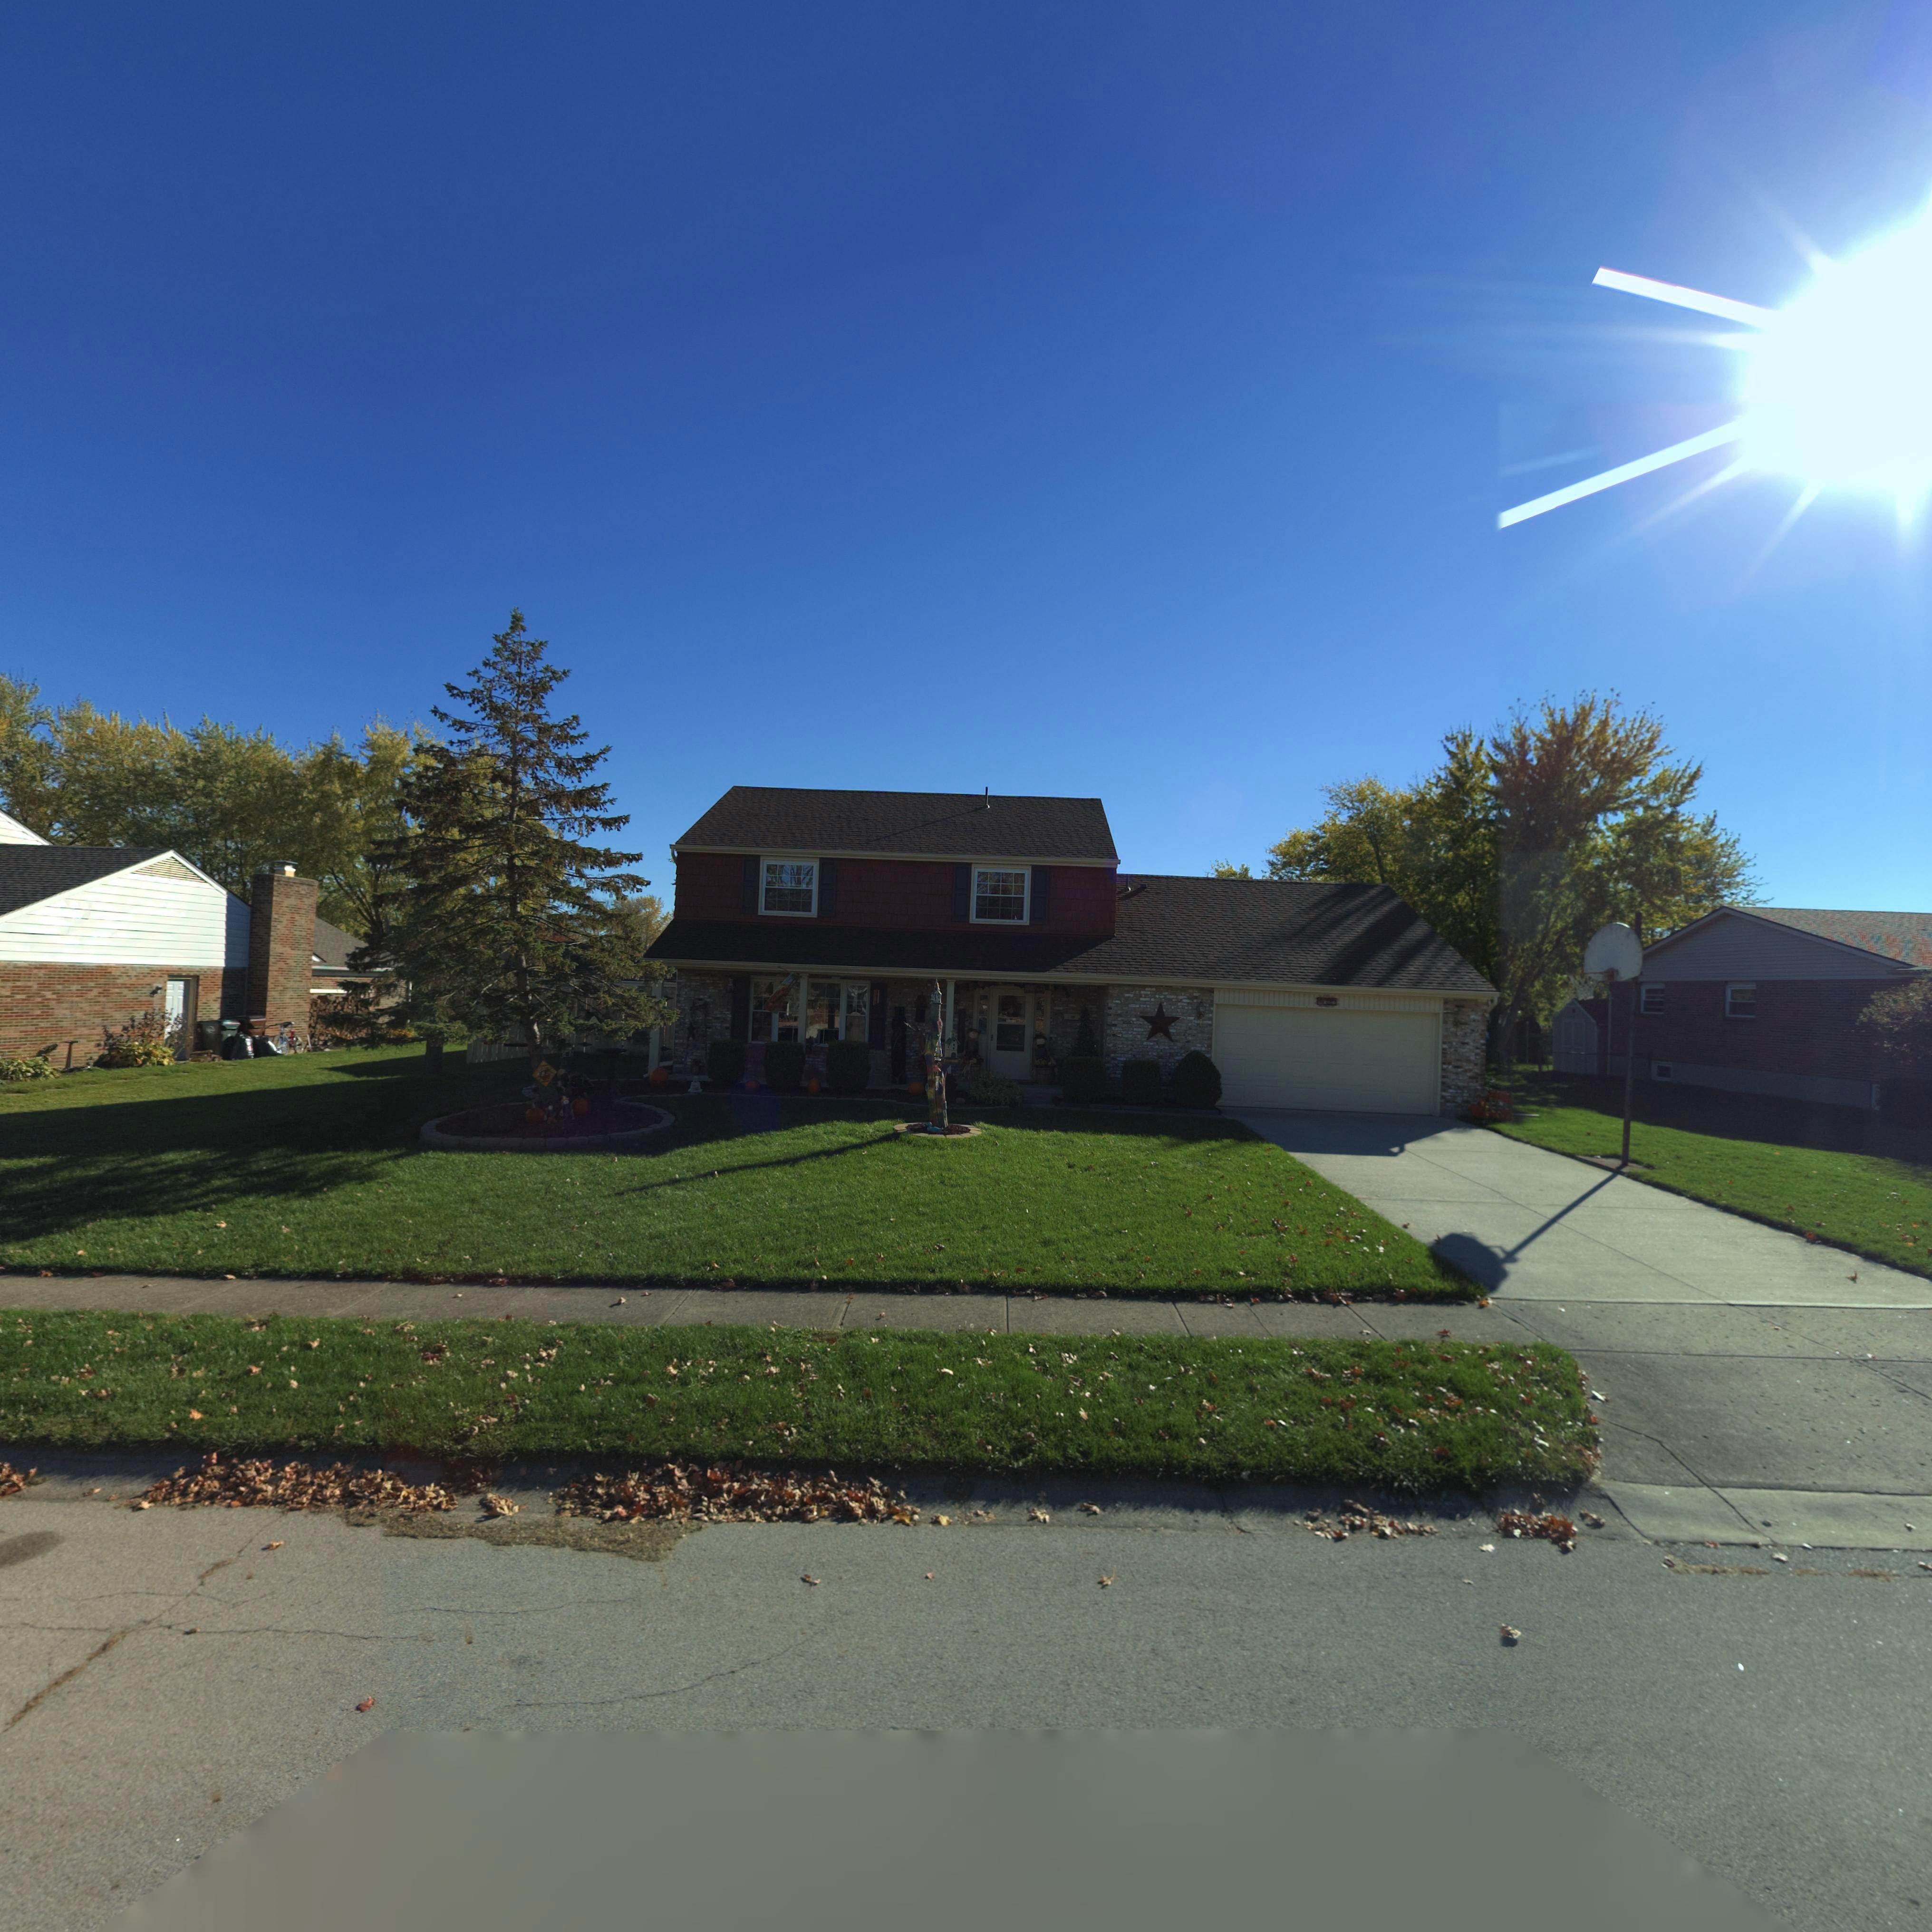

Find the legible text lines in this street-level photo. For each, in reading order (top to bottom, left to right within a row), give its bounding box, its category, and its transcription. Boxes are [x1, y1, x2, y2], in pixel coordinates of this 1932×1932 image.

[1378, 1485, 1457, 1508] StreetNumber: 4**4